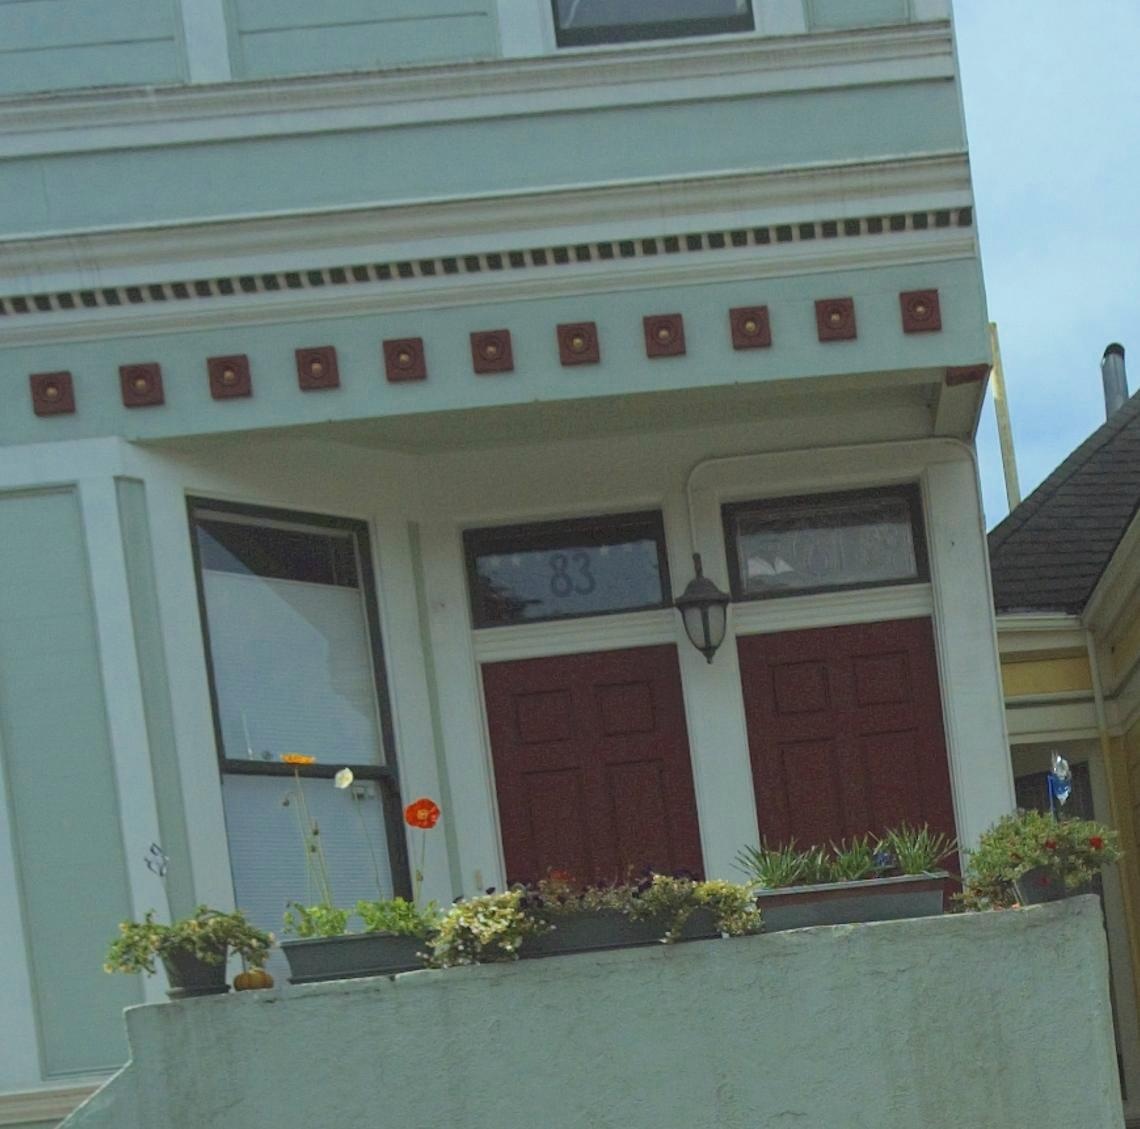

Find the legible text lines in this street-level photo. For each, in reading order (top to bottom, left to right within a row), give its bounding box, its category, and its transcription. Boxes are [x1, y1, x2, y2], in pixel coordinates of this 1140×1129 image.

[548, 549, 599, 600] StreetNumber: 83
[800, 518, 851, 581] StreetNumber: *1